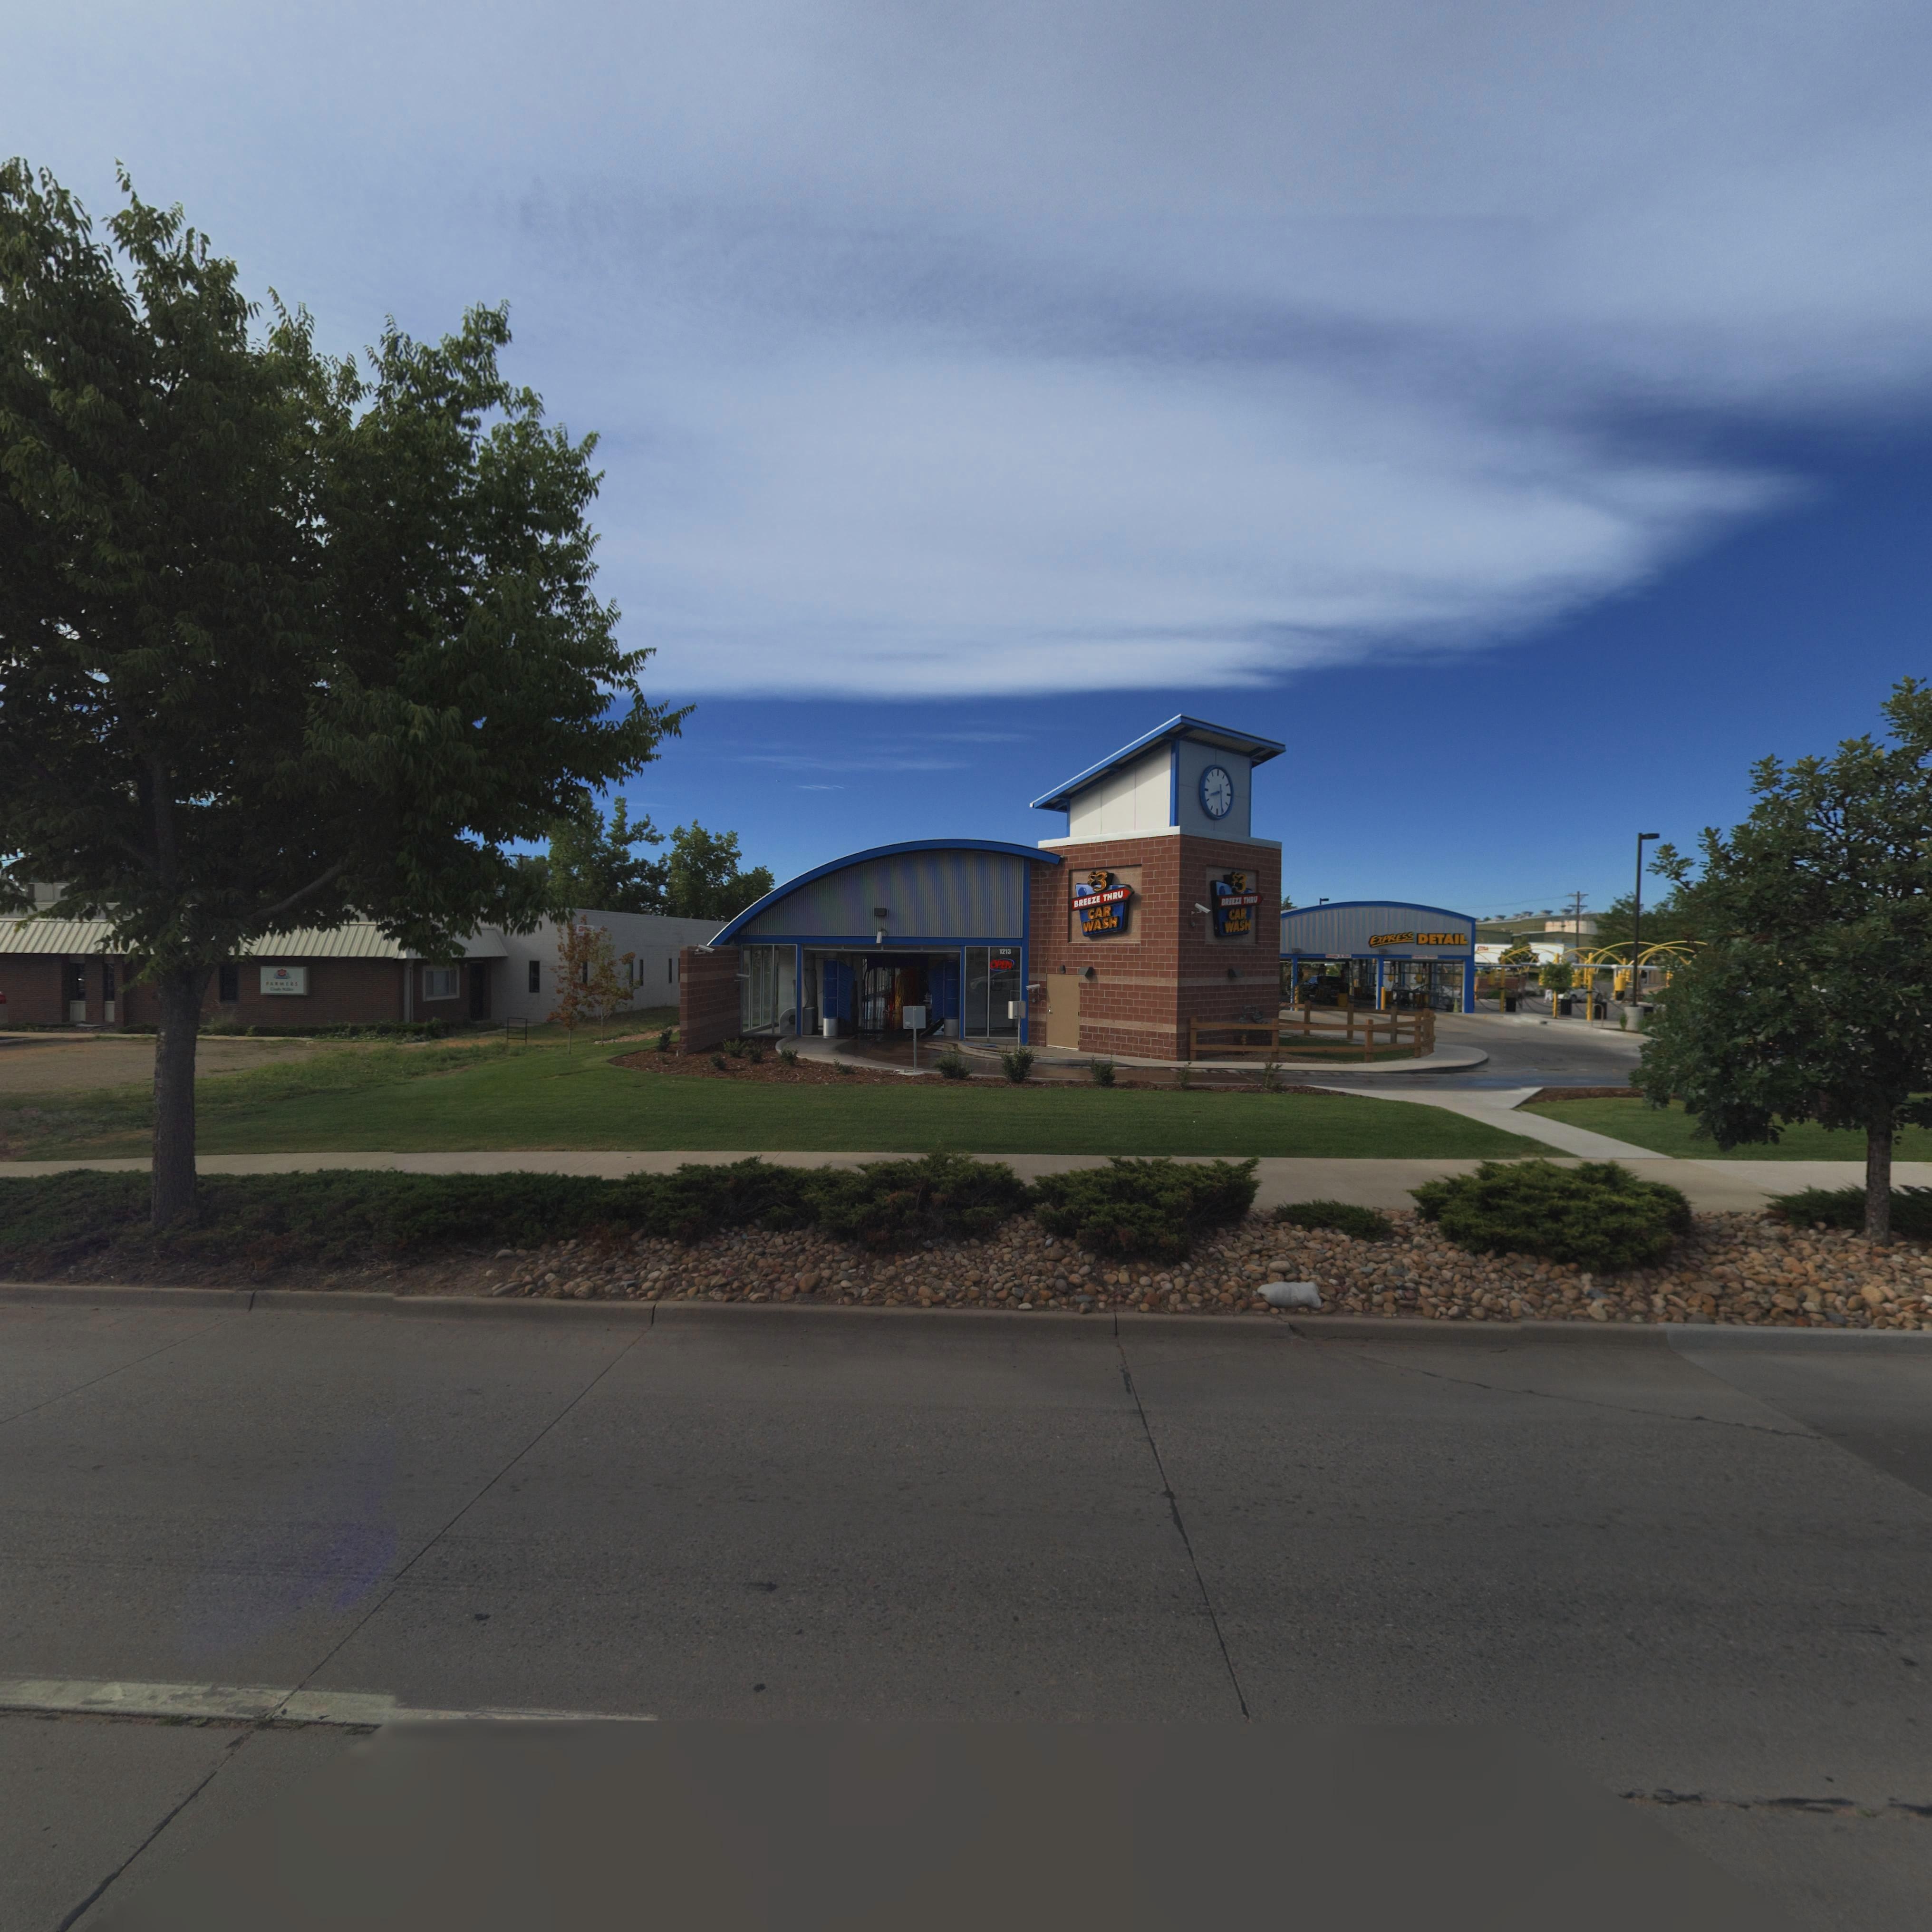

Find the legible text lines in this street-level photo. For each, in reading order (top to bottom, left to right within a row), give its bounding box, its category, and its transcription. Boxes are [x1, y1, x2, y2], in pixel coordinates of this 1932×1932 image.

[1073, 889, 1124, 908] BusinessName: BREEZE THRU
[1221, 895, 1258, 906] BusinessName: BREEZE THRU
[1087, 904, 1112, 920] BusinessName: CAR
[1227, 907, 1247, 920] BusinessName: CAR
[1081, 915, 1119, 933] BusinessName: WASH
[1223, 918, 1251, 934] BusinessName: WASH
[998, 948, 1012, 954] StreetNumber: 1213
[265, 981, 298, 986] BusinessName: FAR**RS